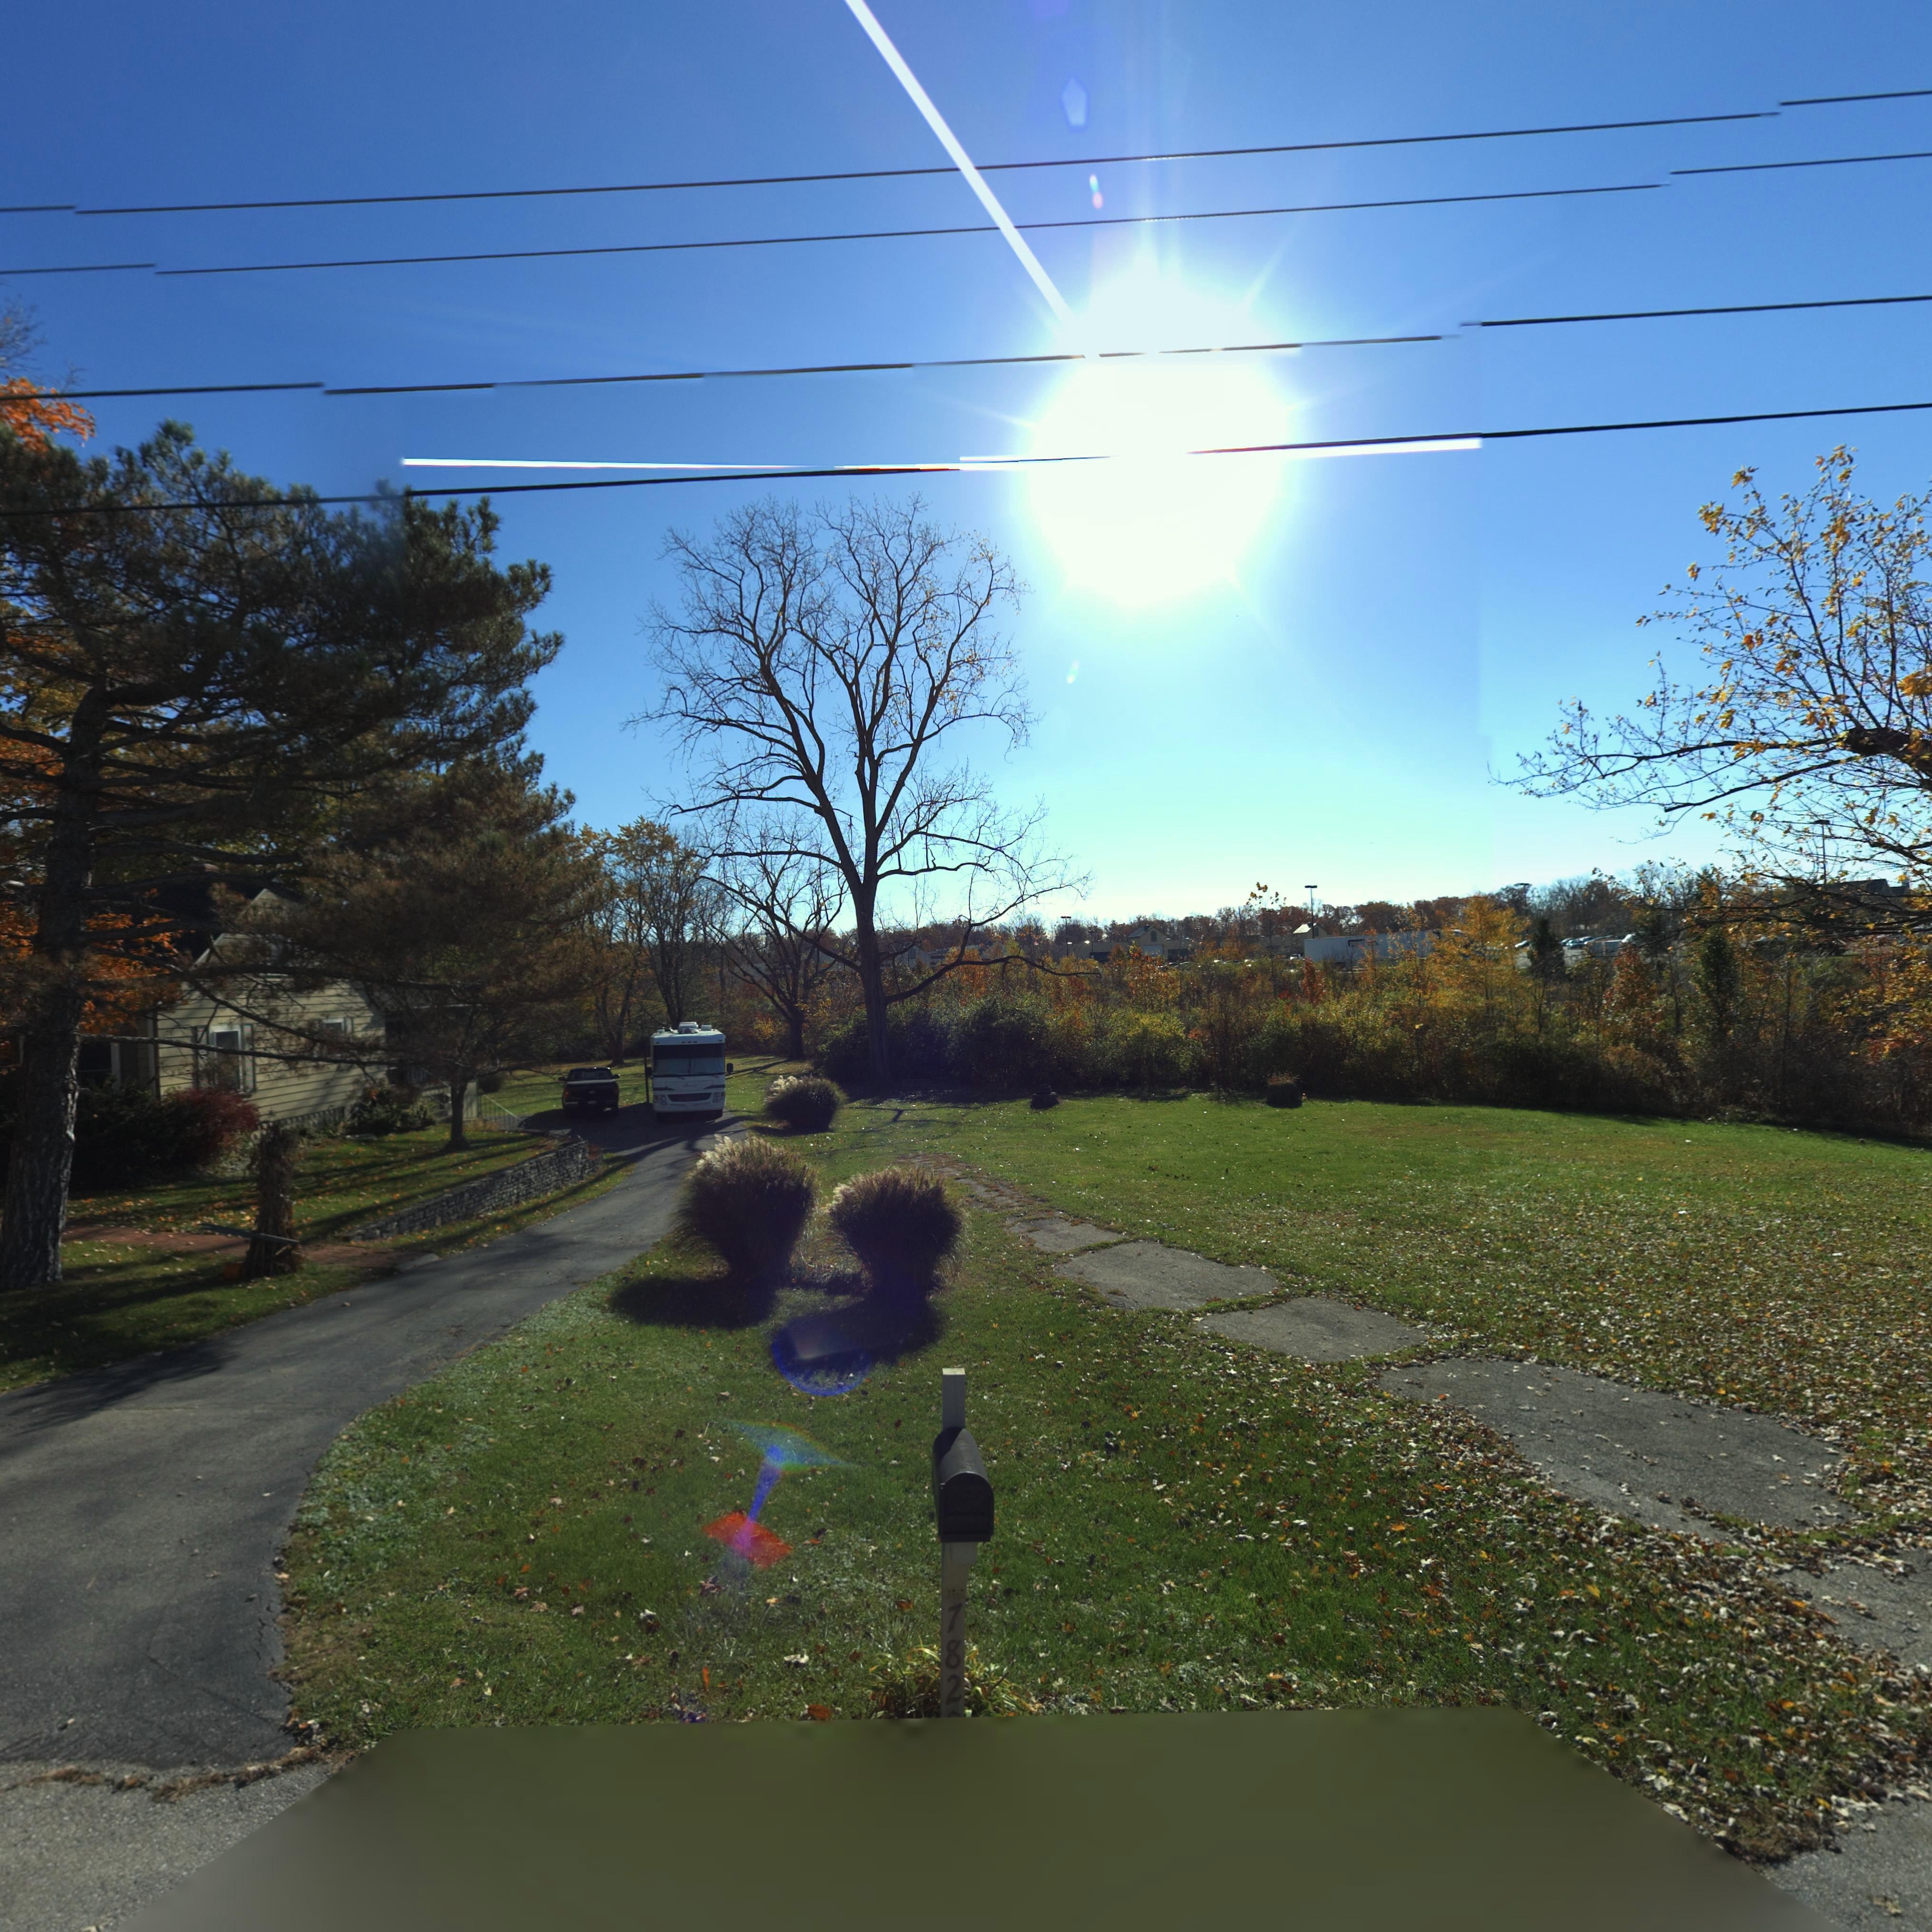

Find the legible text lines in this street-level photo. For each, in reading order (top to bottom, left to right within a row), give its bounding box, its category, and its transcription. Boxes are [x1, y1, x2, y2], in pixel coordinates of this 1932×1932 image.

[943, 1601, 964, 1708] StreetNumber: 782